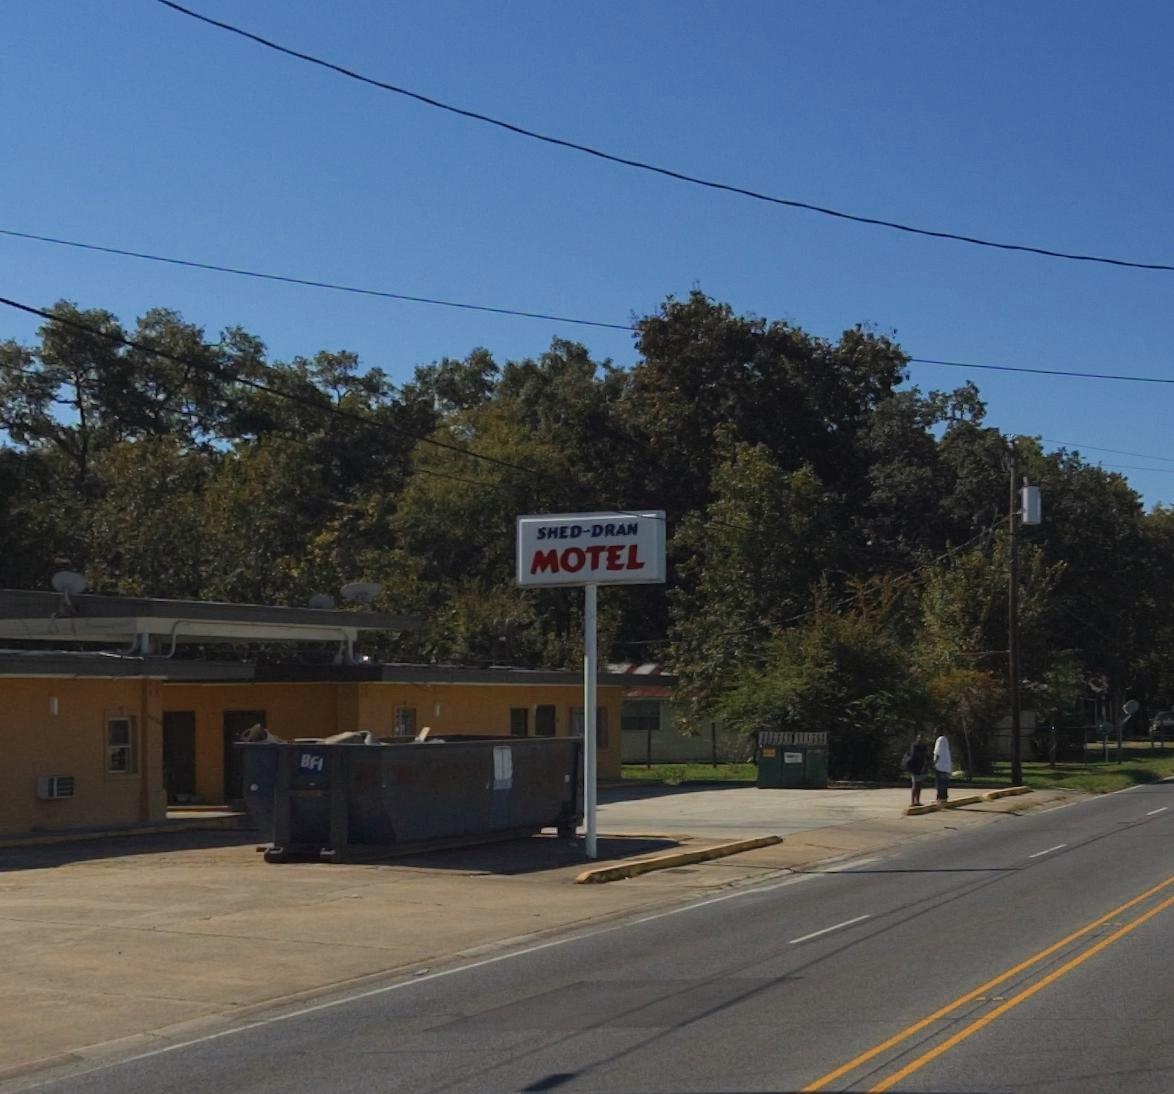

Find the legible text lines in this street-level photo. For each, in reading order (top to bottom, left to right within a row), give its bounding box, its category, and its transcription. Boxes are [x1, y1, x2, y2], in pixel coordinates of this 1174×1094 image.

[534, 519, 641, 544] BusinessName: SHED-DAN
[526, 541, 649, 578] BusinessName: MOTEL
[297, 750, 326, 774] None: BFI